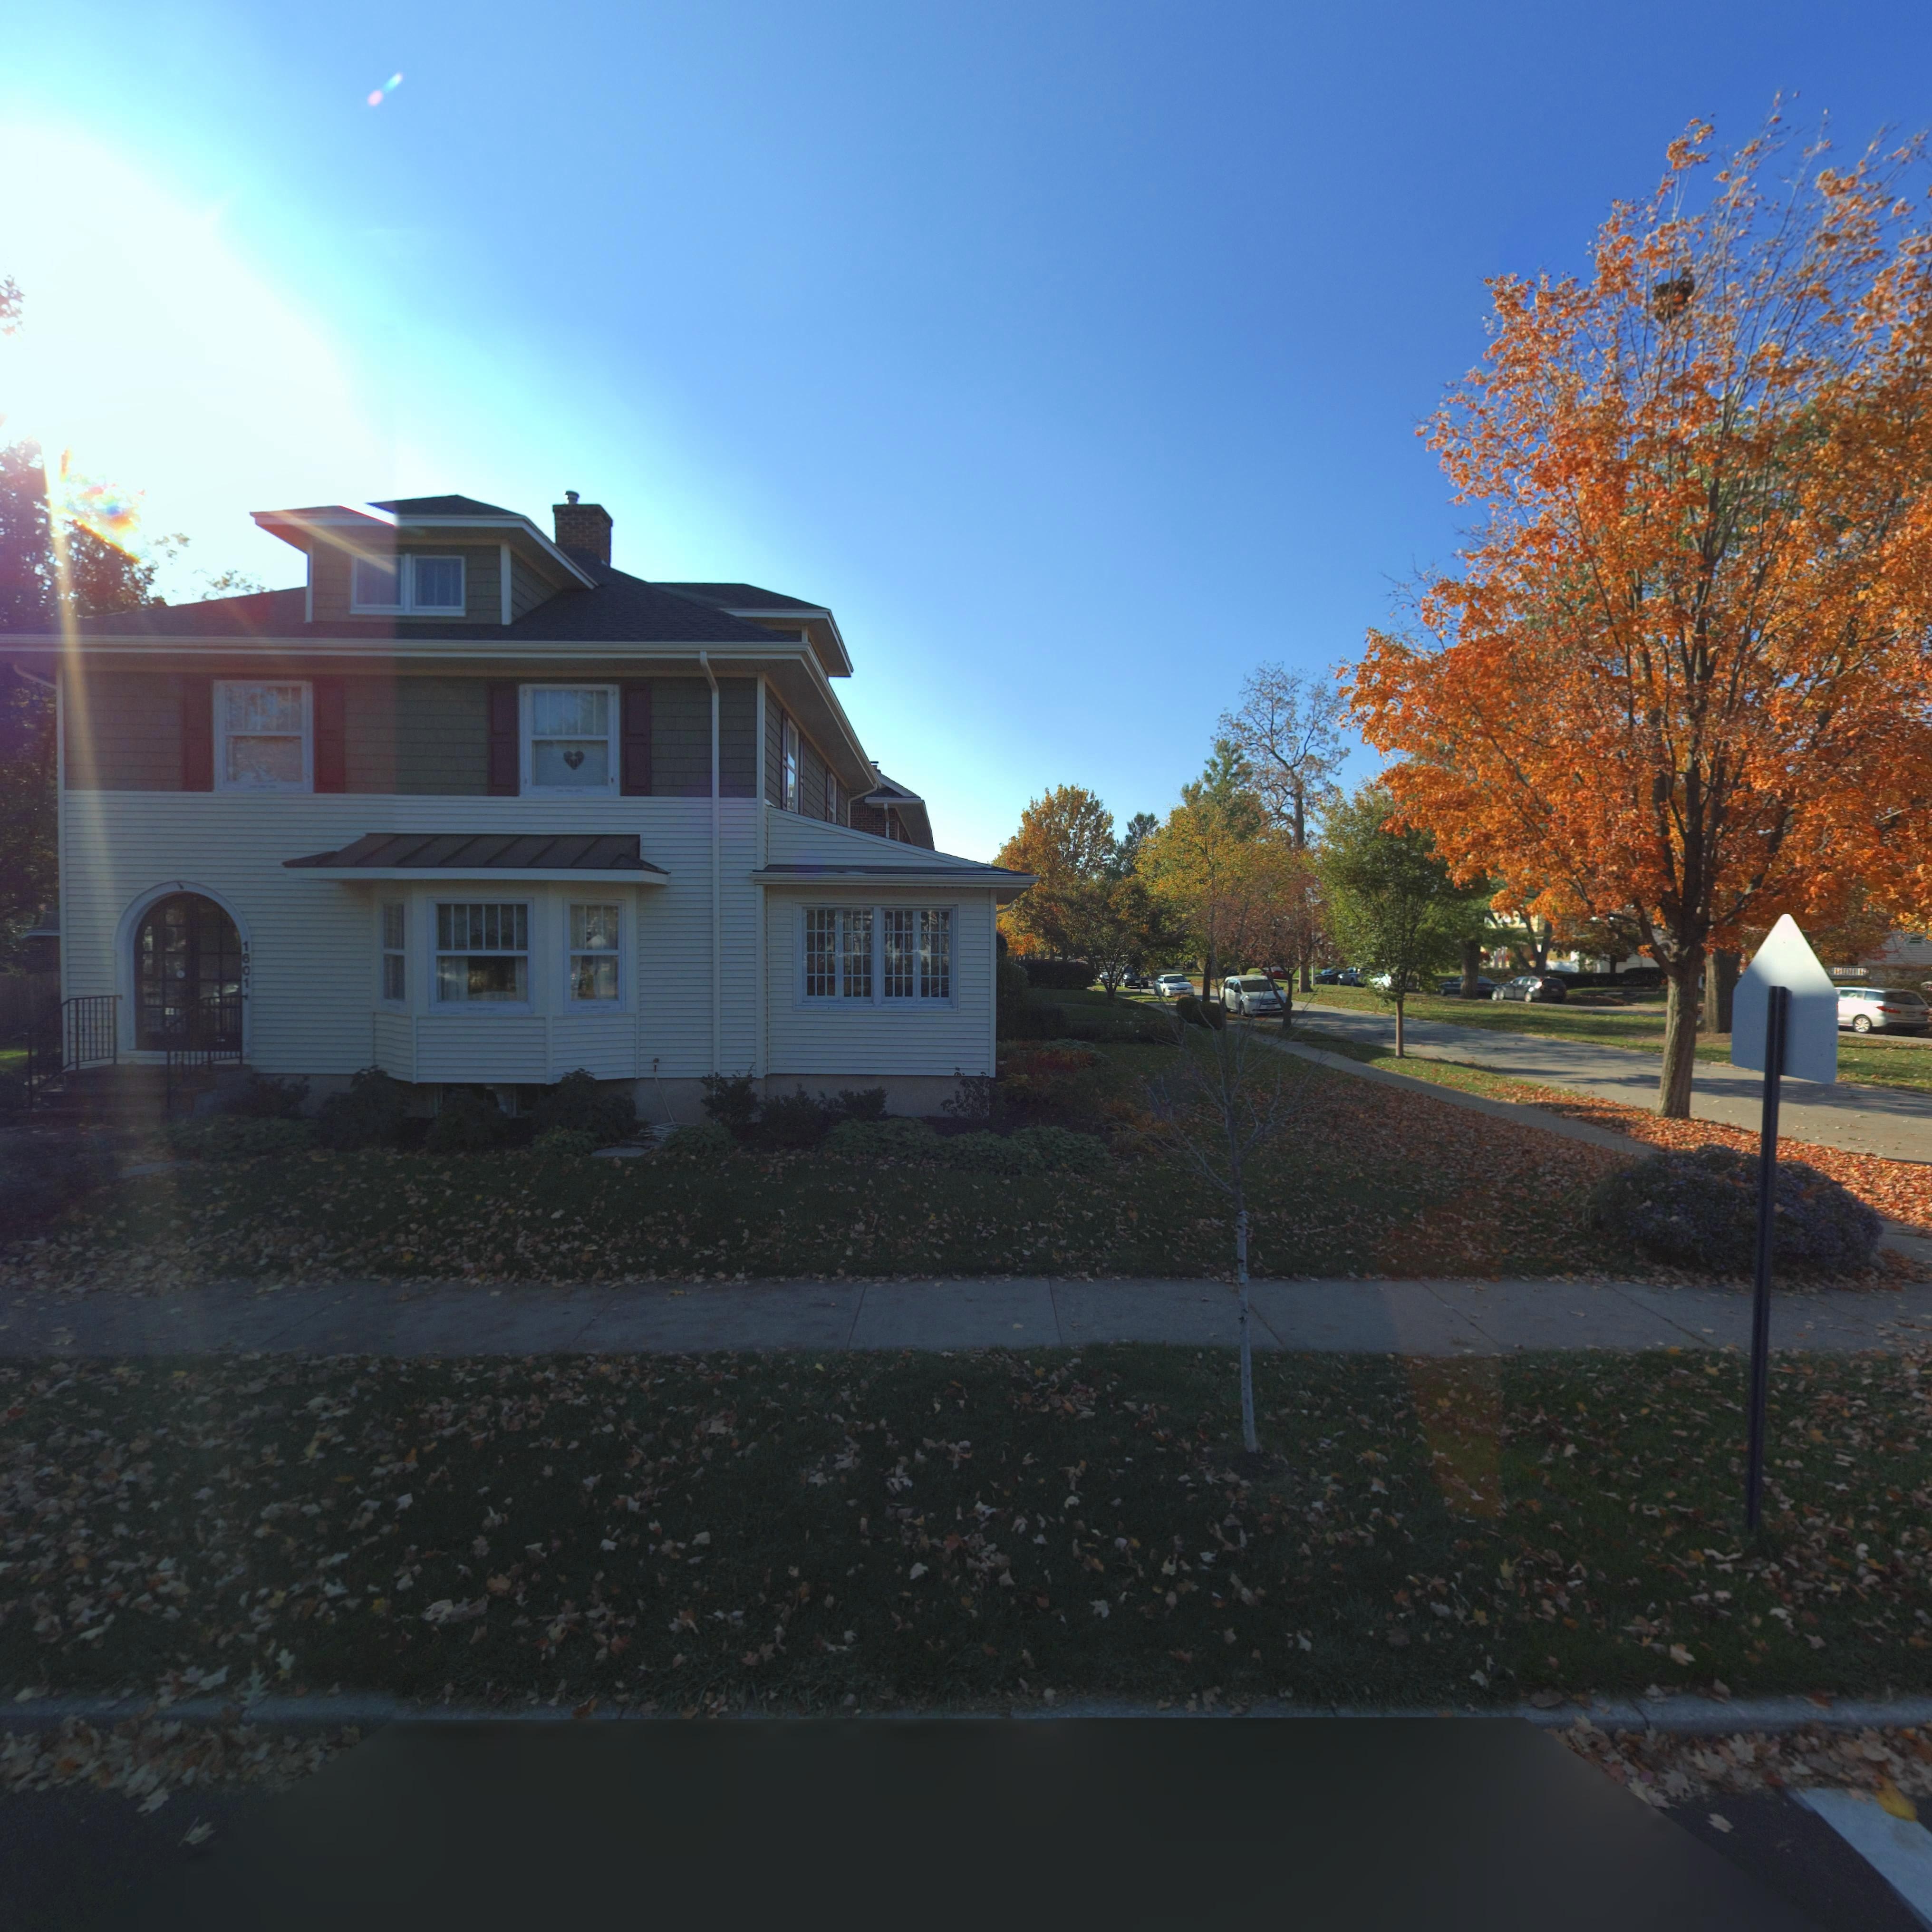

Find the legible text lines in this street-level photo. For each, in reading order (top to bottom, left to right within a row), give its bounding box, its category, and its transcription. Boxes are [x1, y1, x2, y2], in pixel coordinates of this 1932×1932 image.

[241, 939, 251, 989] StreetNumber: 1601